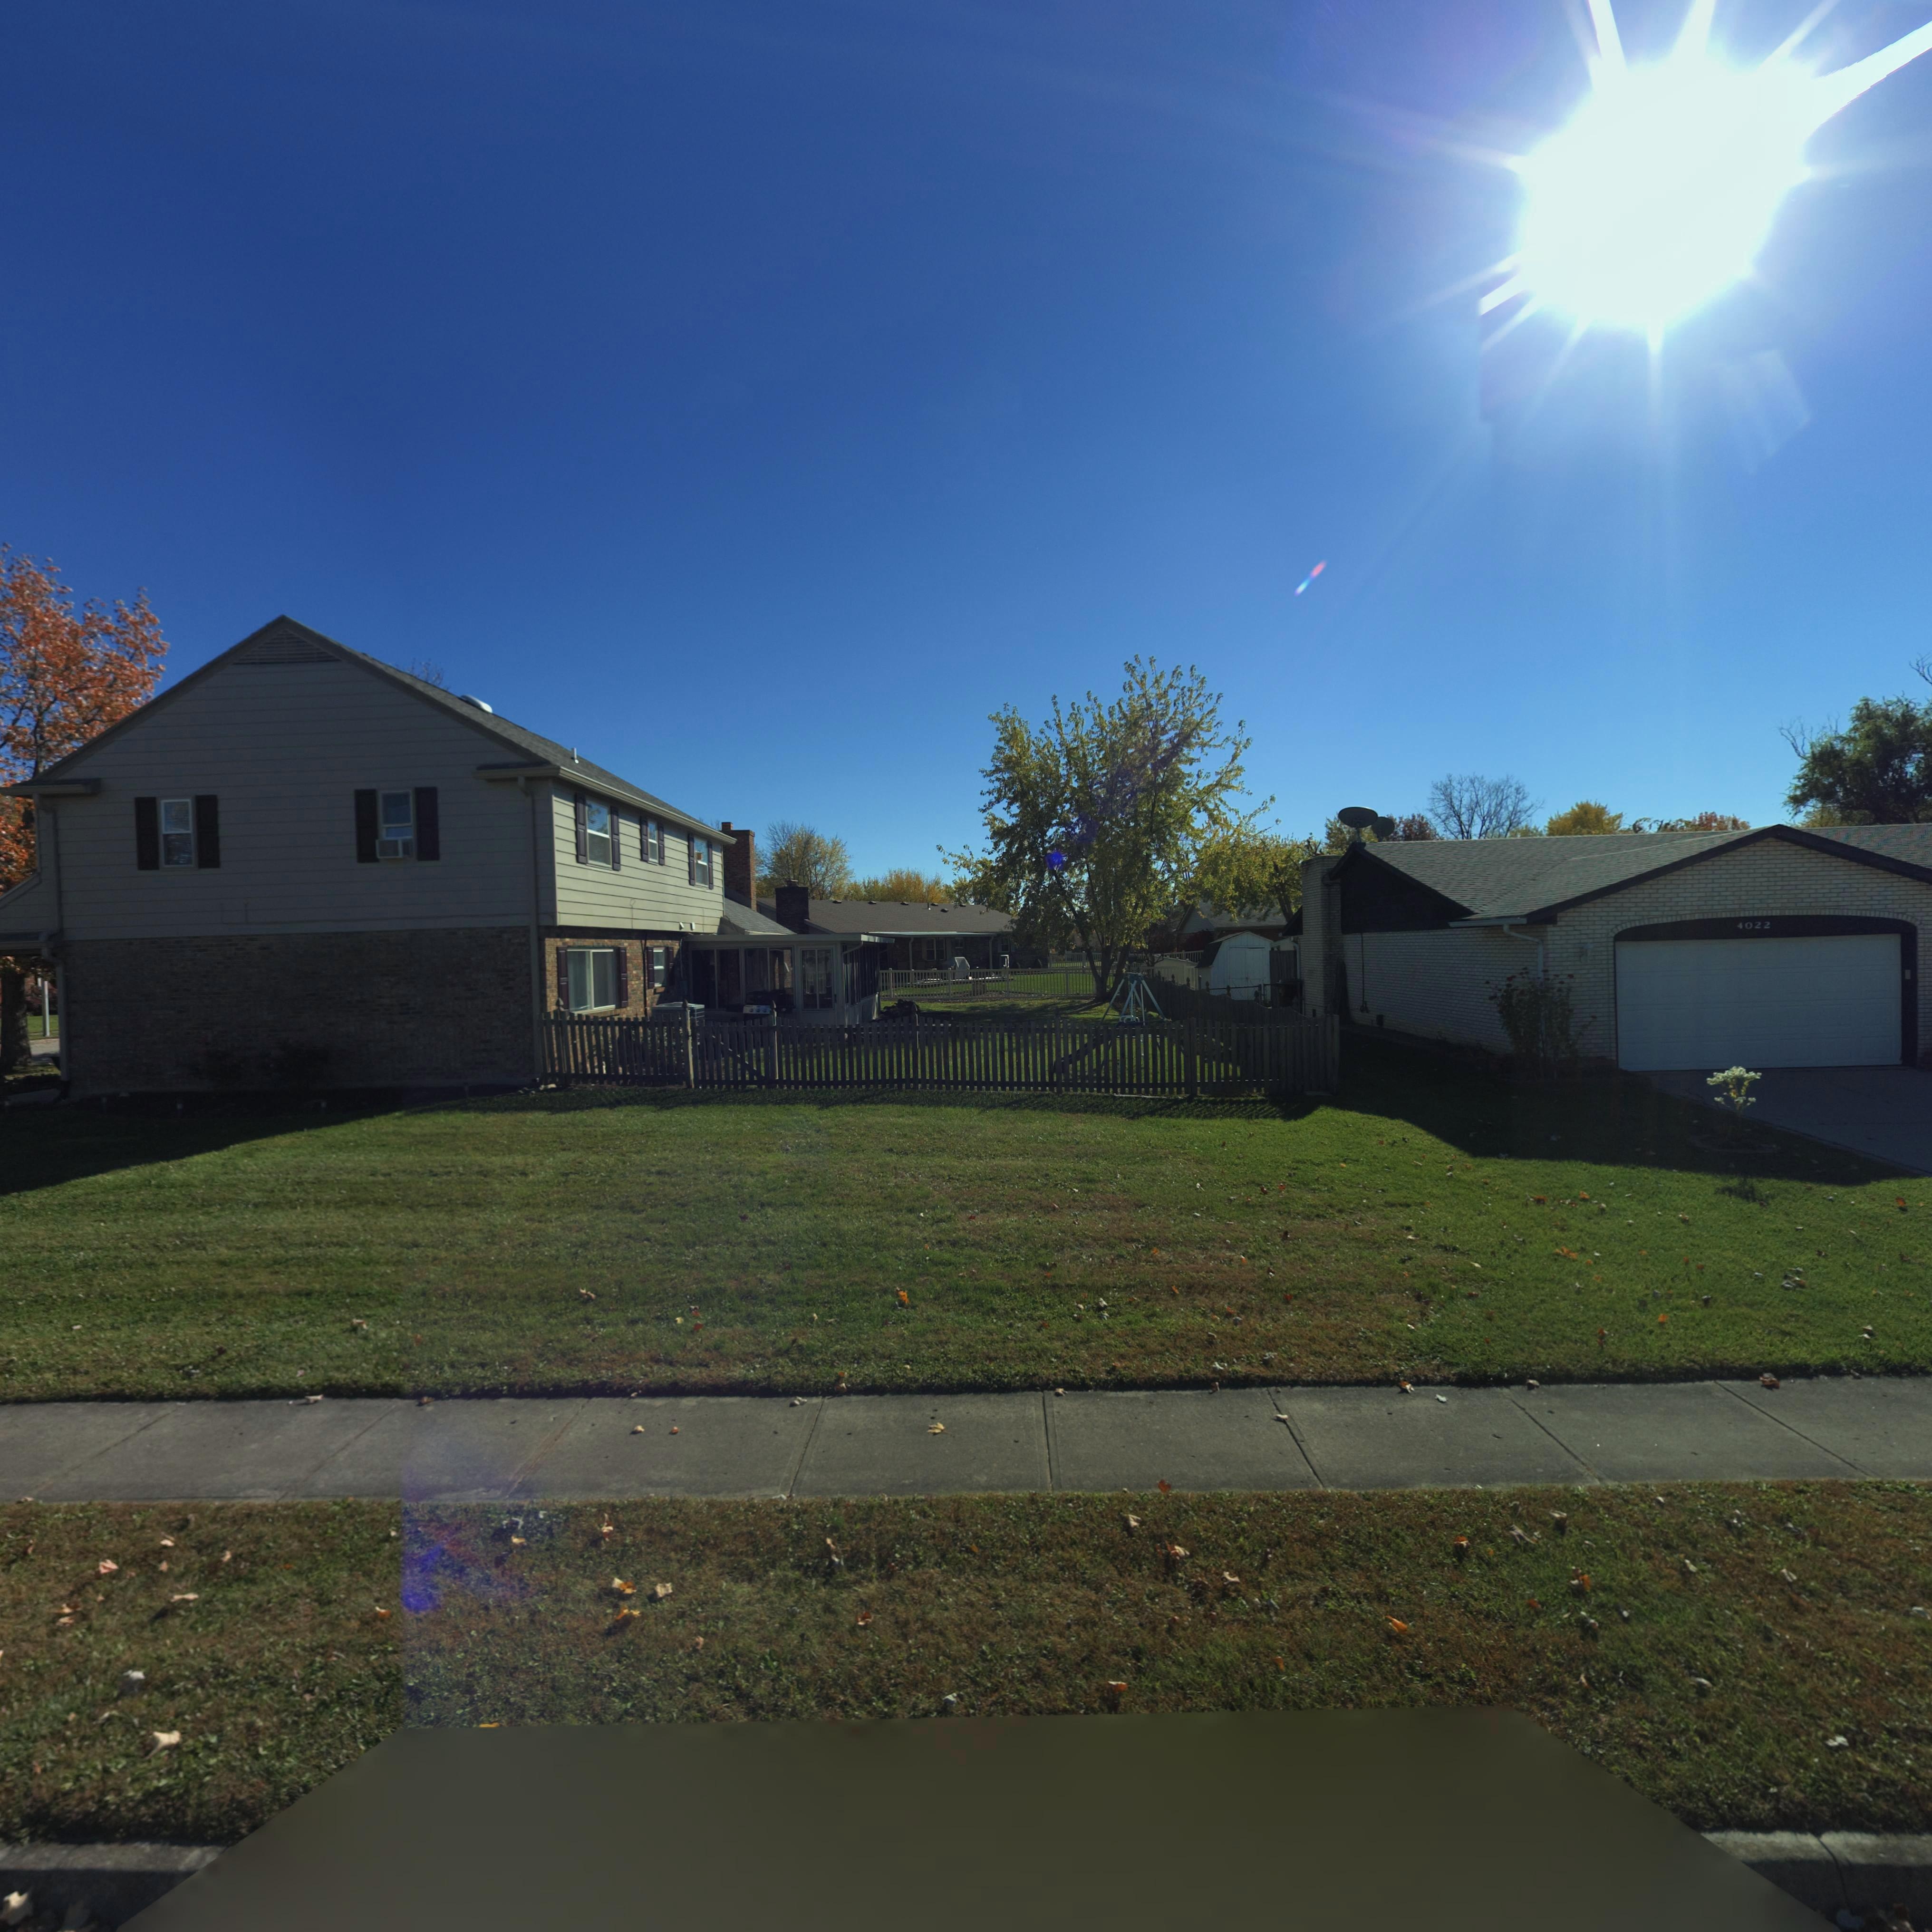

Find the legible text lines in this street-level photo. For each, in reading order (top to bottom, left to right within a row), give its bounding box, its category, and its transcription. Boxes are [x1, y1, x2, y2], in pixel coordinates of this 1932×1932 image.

[1736, 921, 1771, 929] StreetNumber: 4022